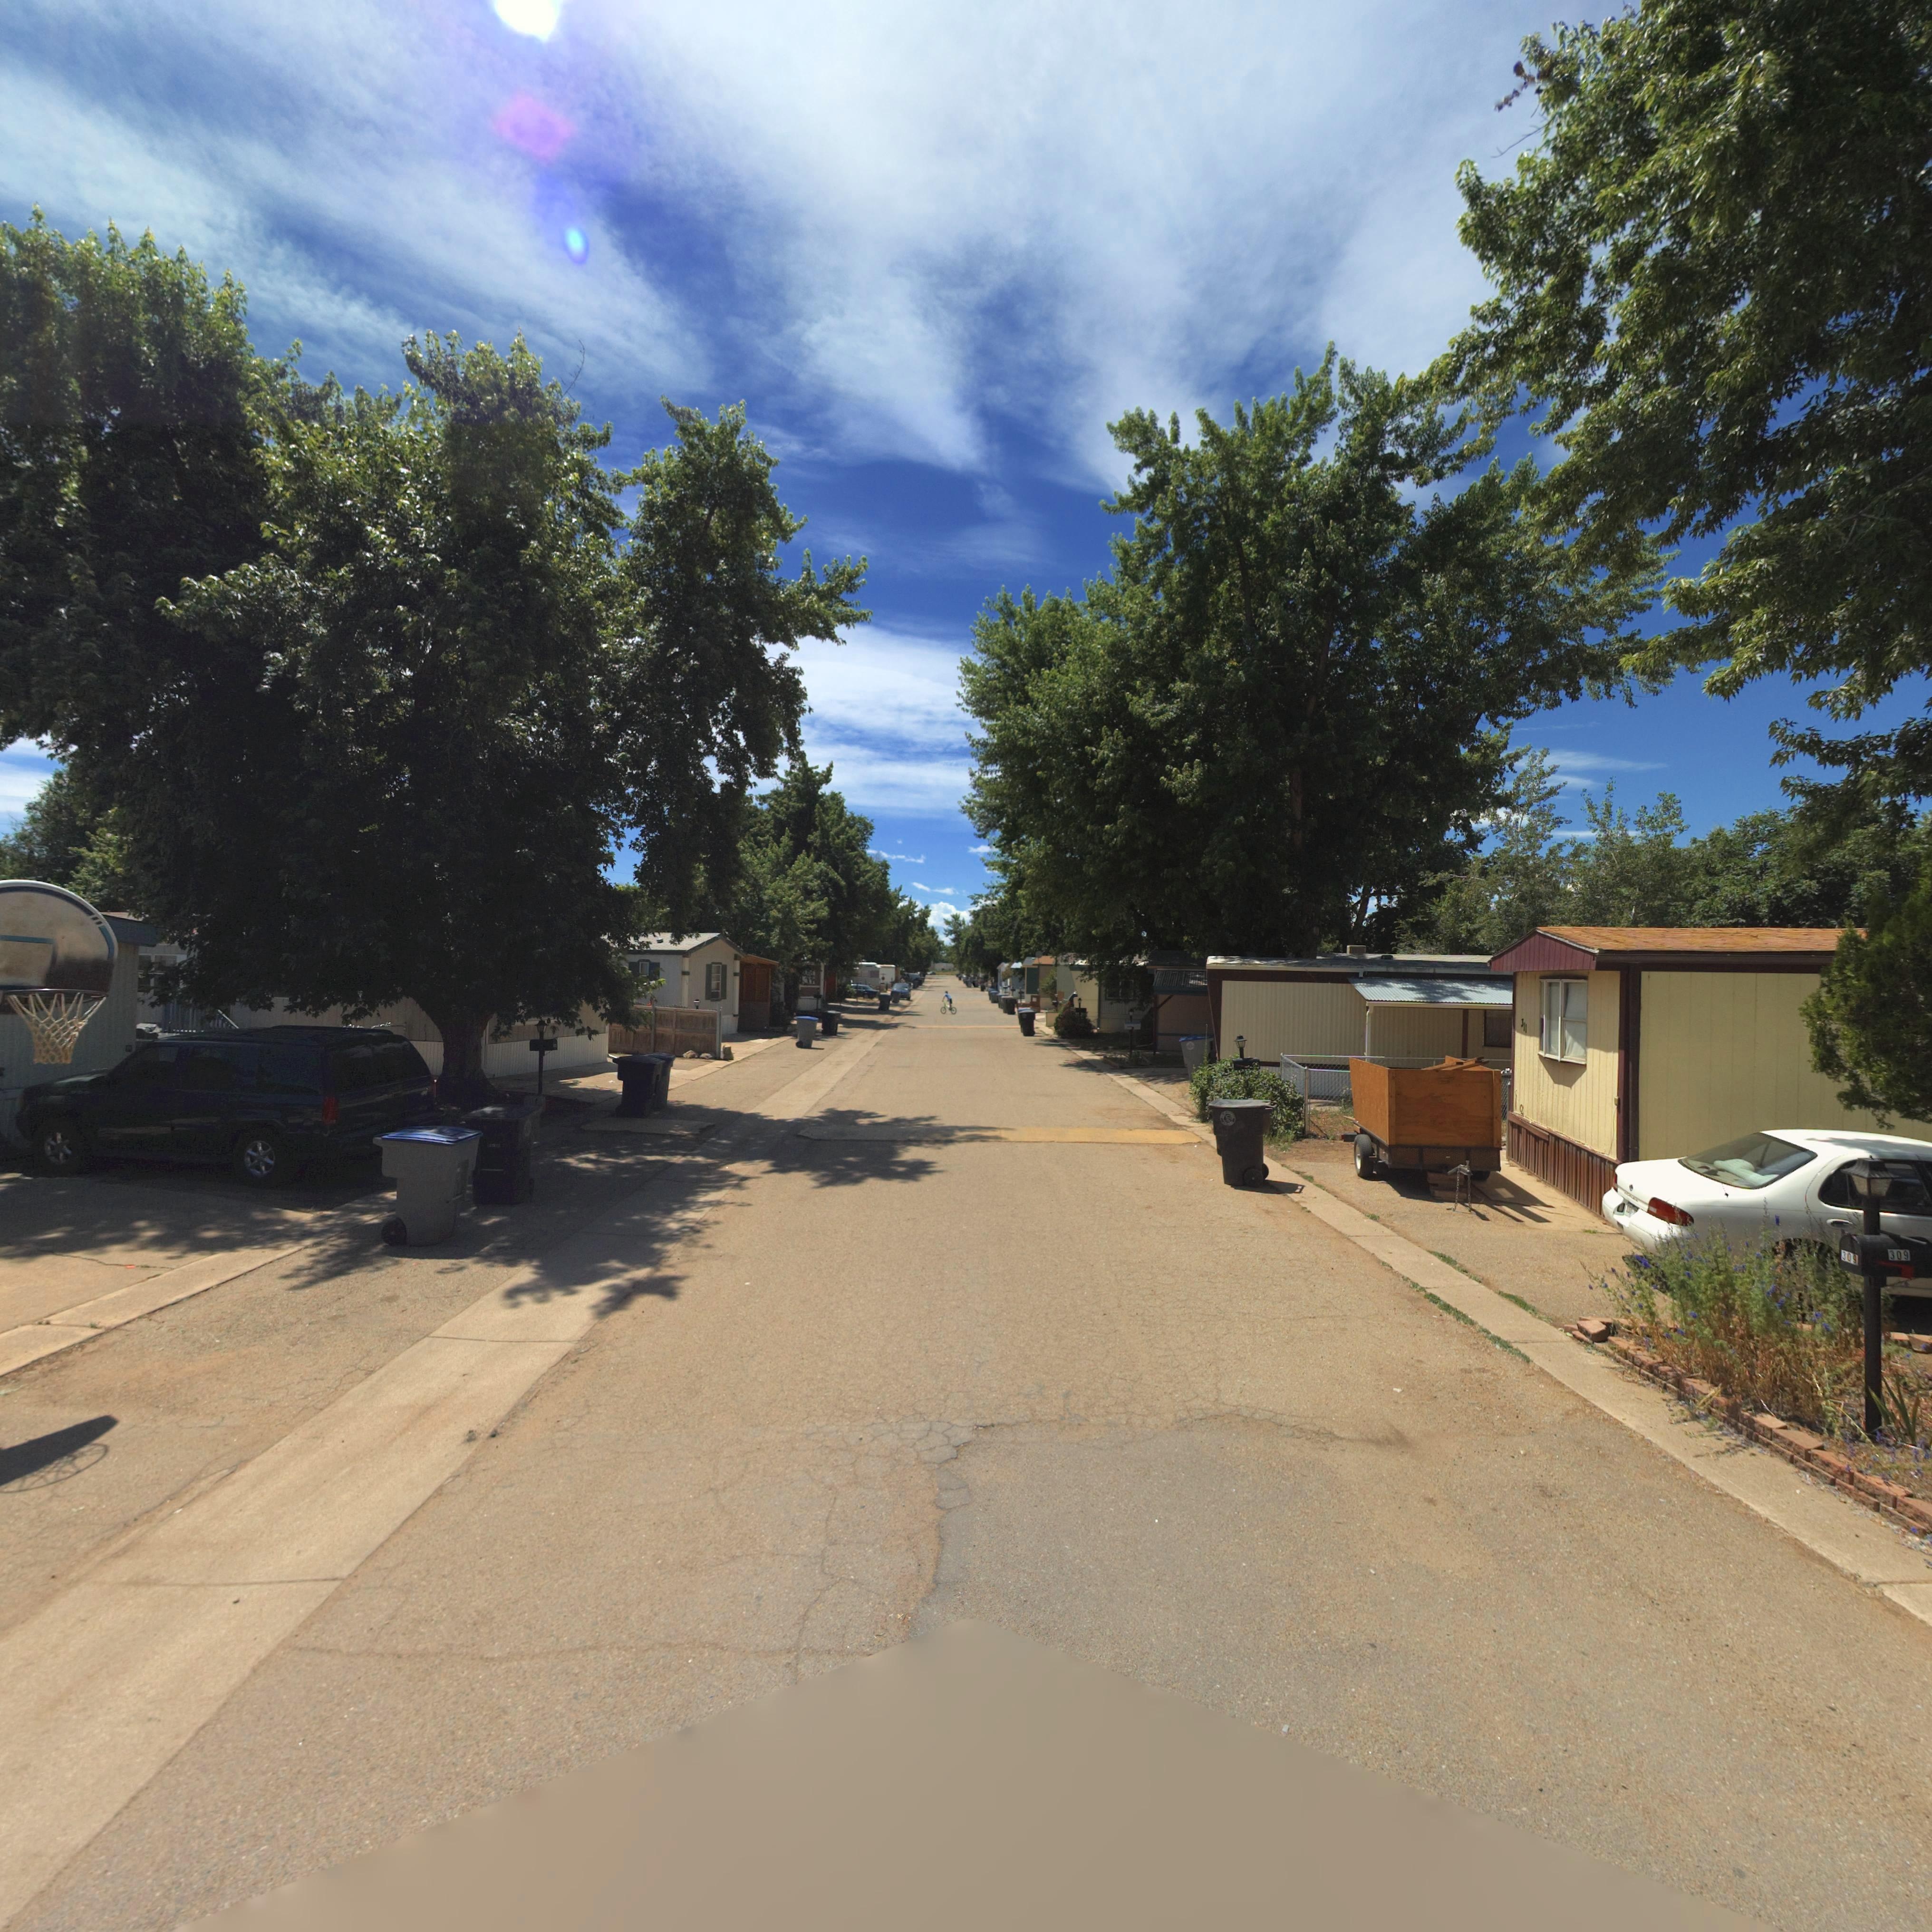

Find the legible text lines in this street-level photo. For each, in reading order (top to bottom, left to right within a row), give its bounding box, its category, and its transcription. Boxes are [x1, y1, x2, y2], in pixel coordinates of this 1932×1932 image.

[1520, 1017, 1527, 1034] StreetNumber: 311
[1842, 1250, 1857, 1264] StreetNumber: 309
[1888, 1249, 1909, 1260] StreetNumber: 309